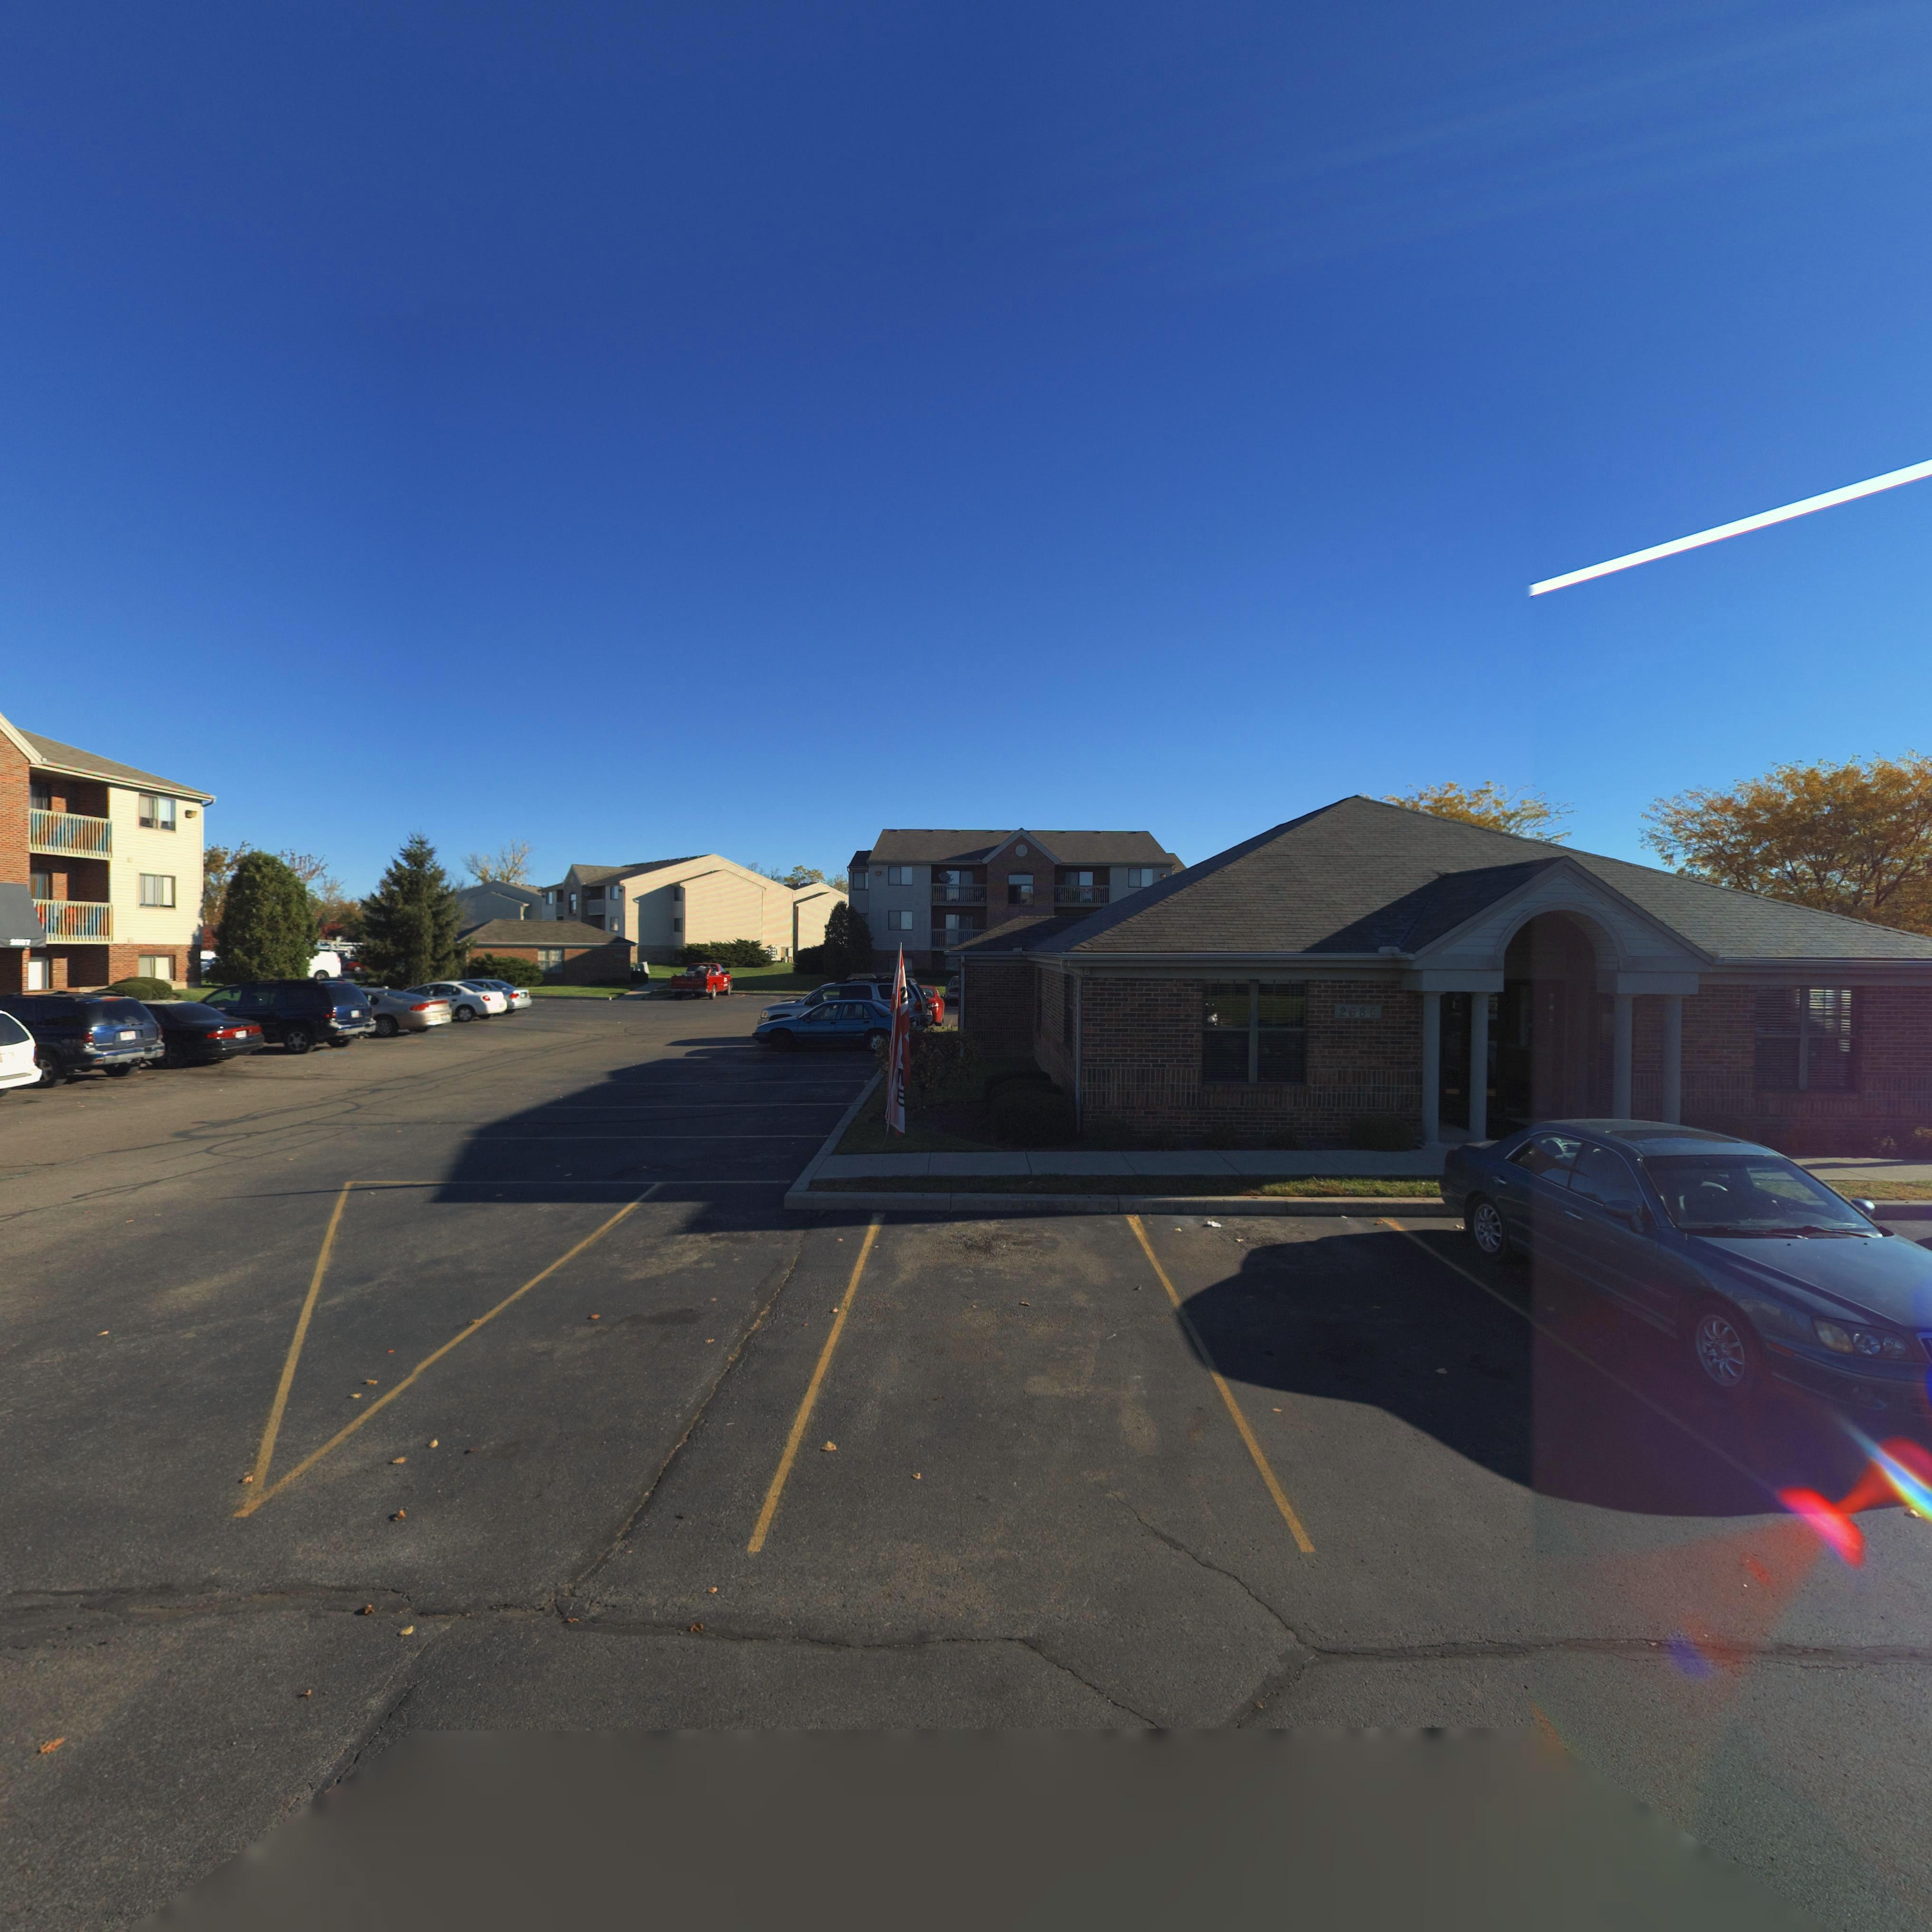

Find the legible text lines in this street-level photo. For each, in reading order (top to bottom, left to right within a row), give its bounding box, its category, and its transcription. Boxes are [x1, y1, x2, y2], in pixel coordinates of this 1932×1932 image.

[9, 938, 31, 946] StreetNumber: 2**7
[1339, 1006, 1376, 1018] StreetNumber: 2686